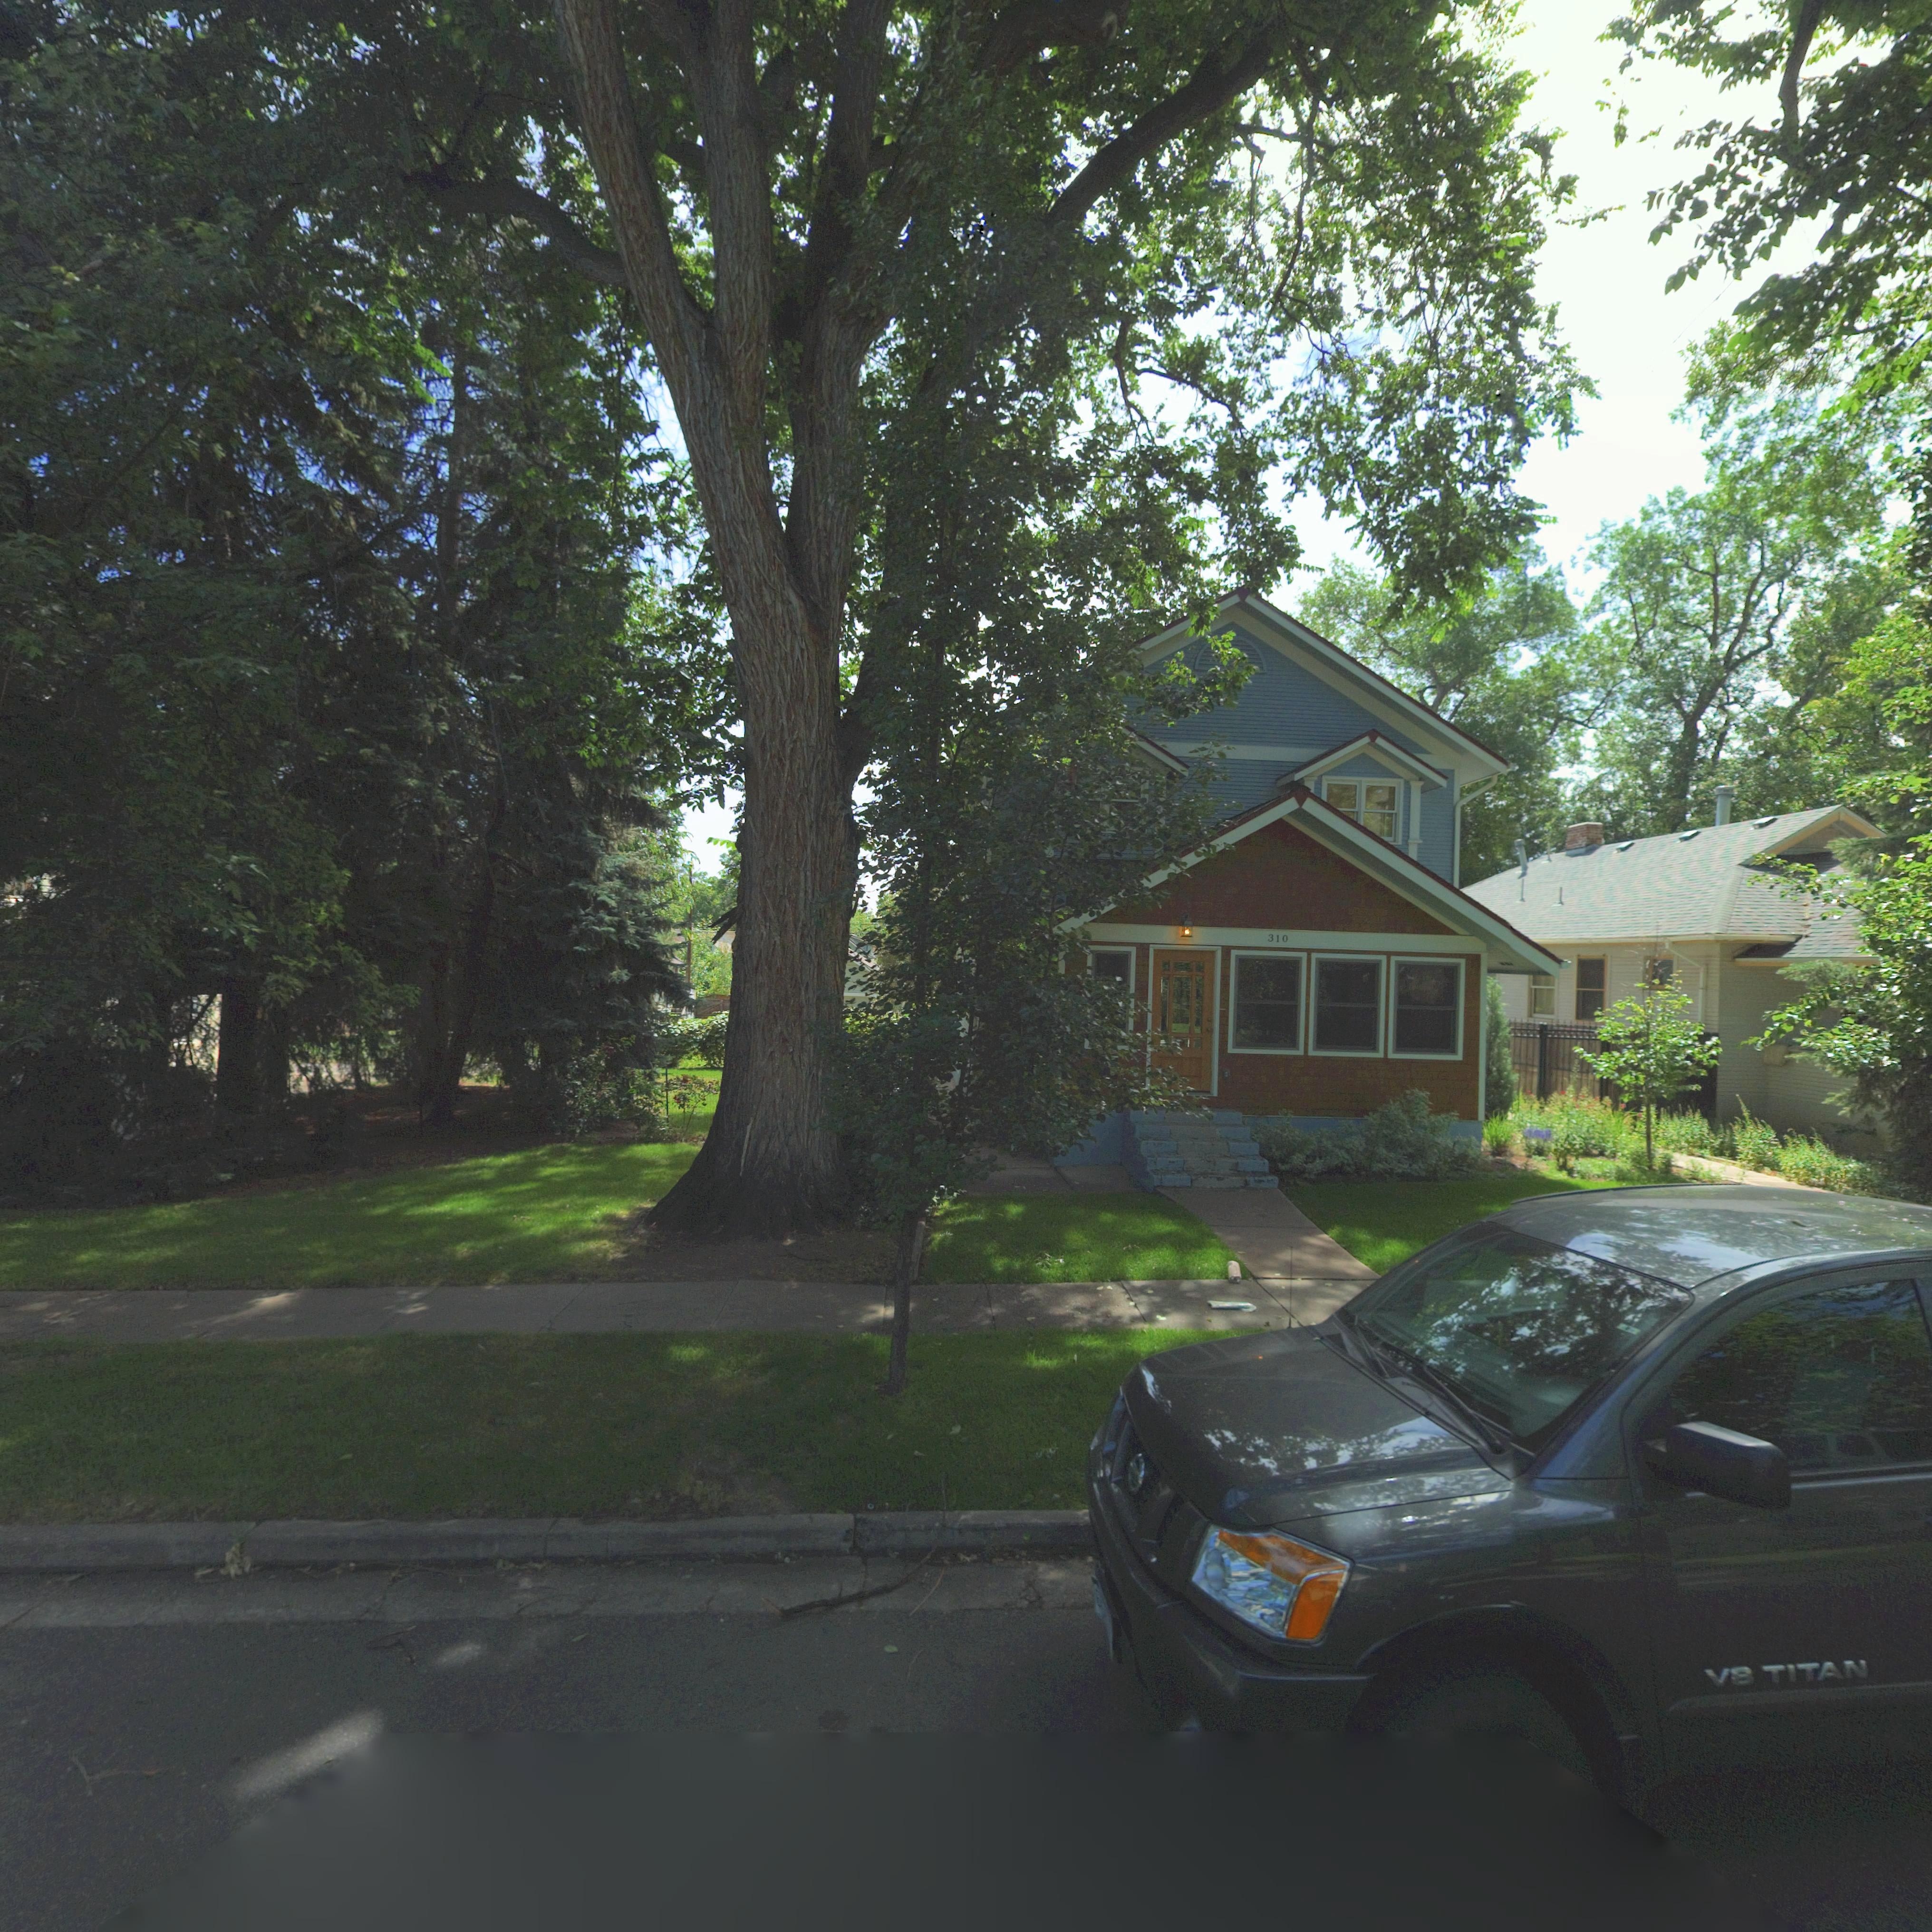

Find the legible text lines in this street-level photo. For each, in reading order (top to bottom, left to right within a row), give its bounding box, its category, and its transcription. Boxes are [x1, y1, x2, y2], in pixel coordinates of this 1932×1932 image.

[1267, 934, 1288, 942] StreetNumber: 310